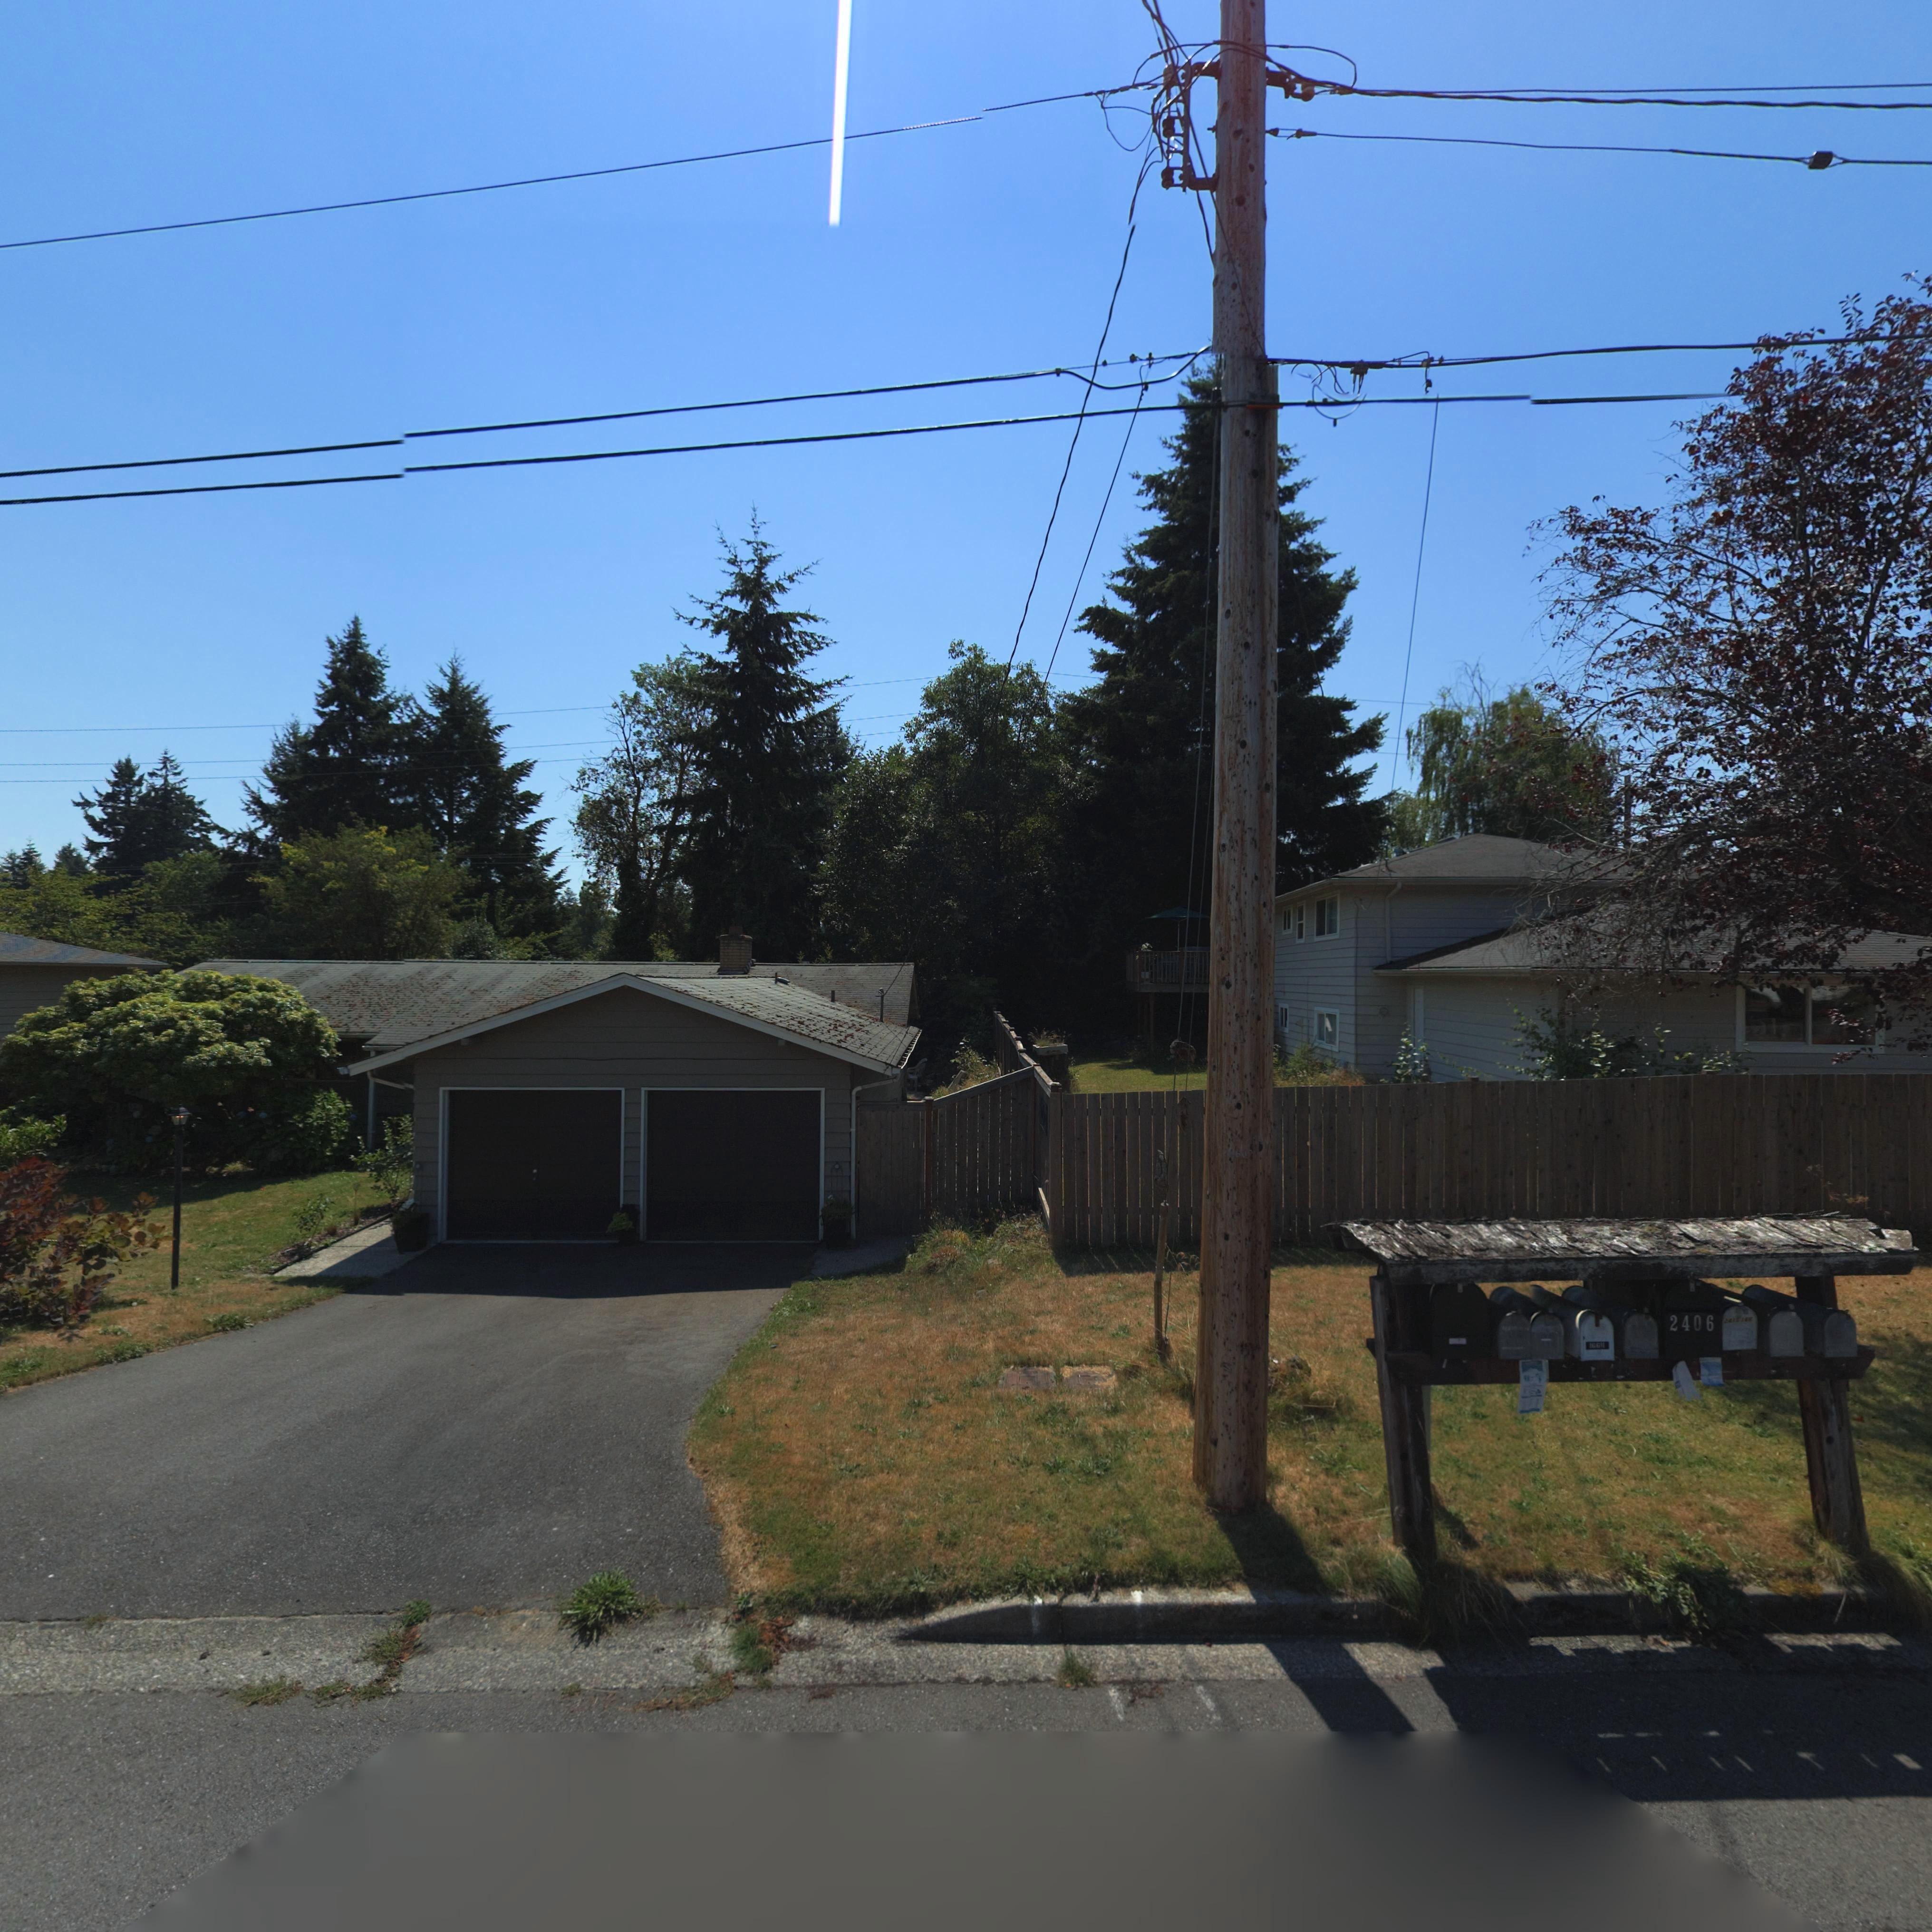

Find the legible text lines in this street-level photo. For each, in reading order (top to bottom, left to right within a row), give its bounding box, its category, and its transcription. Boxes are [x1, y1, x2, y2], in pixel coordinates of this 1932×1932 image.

[1670, 1315, 1714, 1331] StreetNumber: 2406